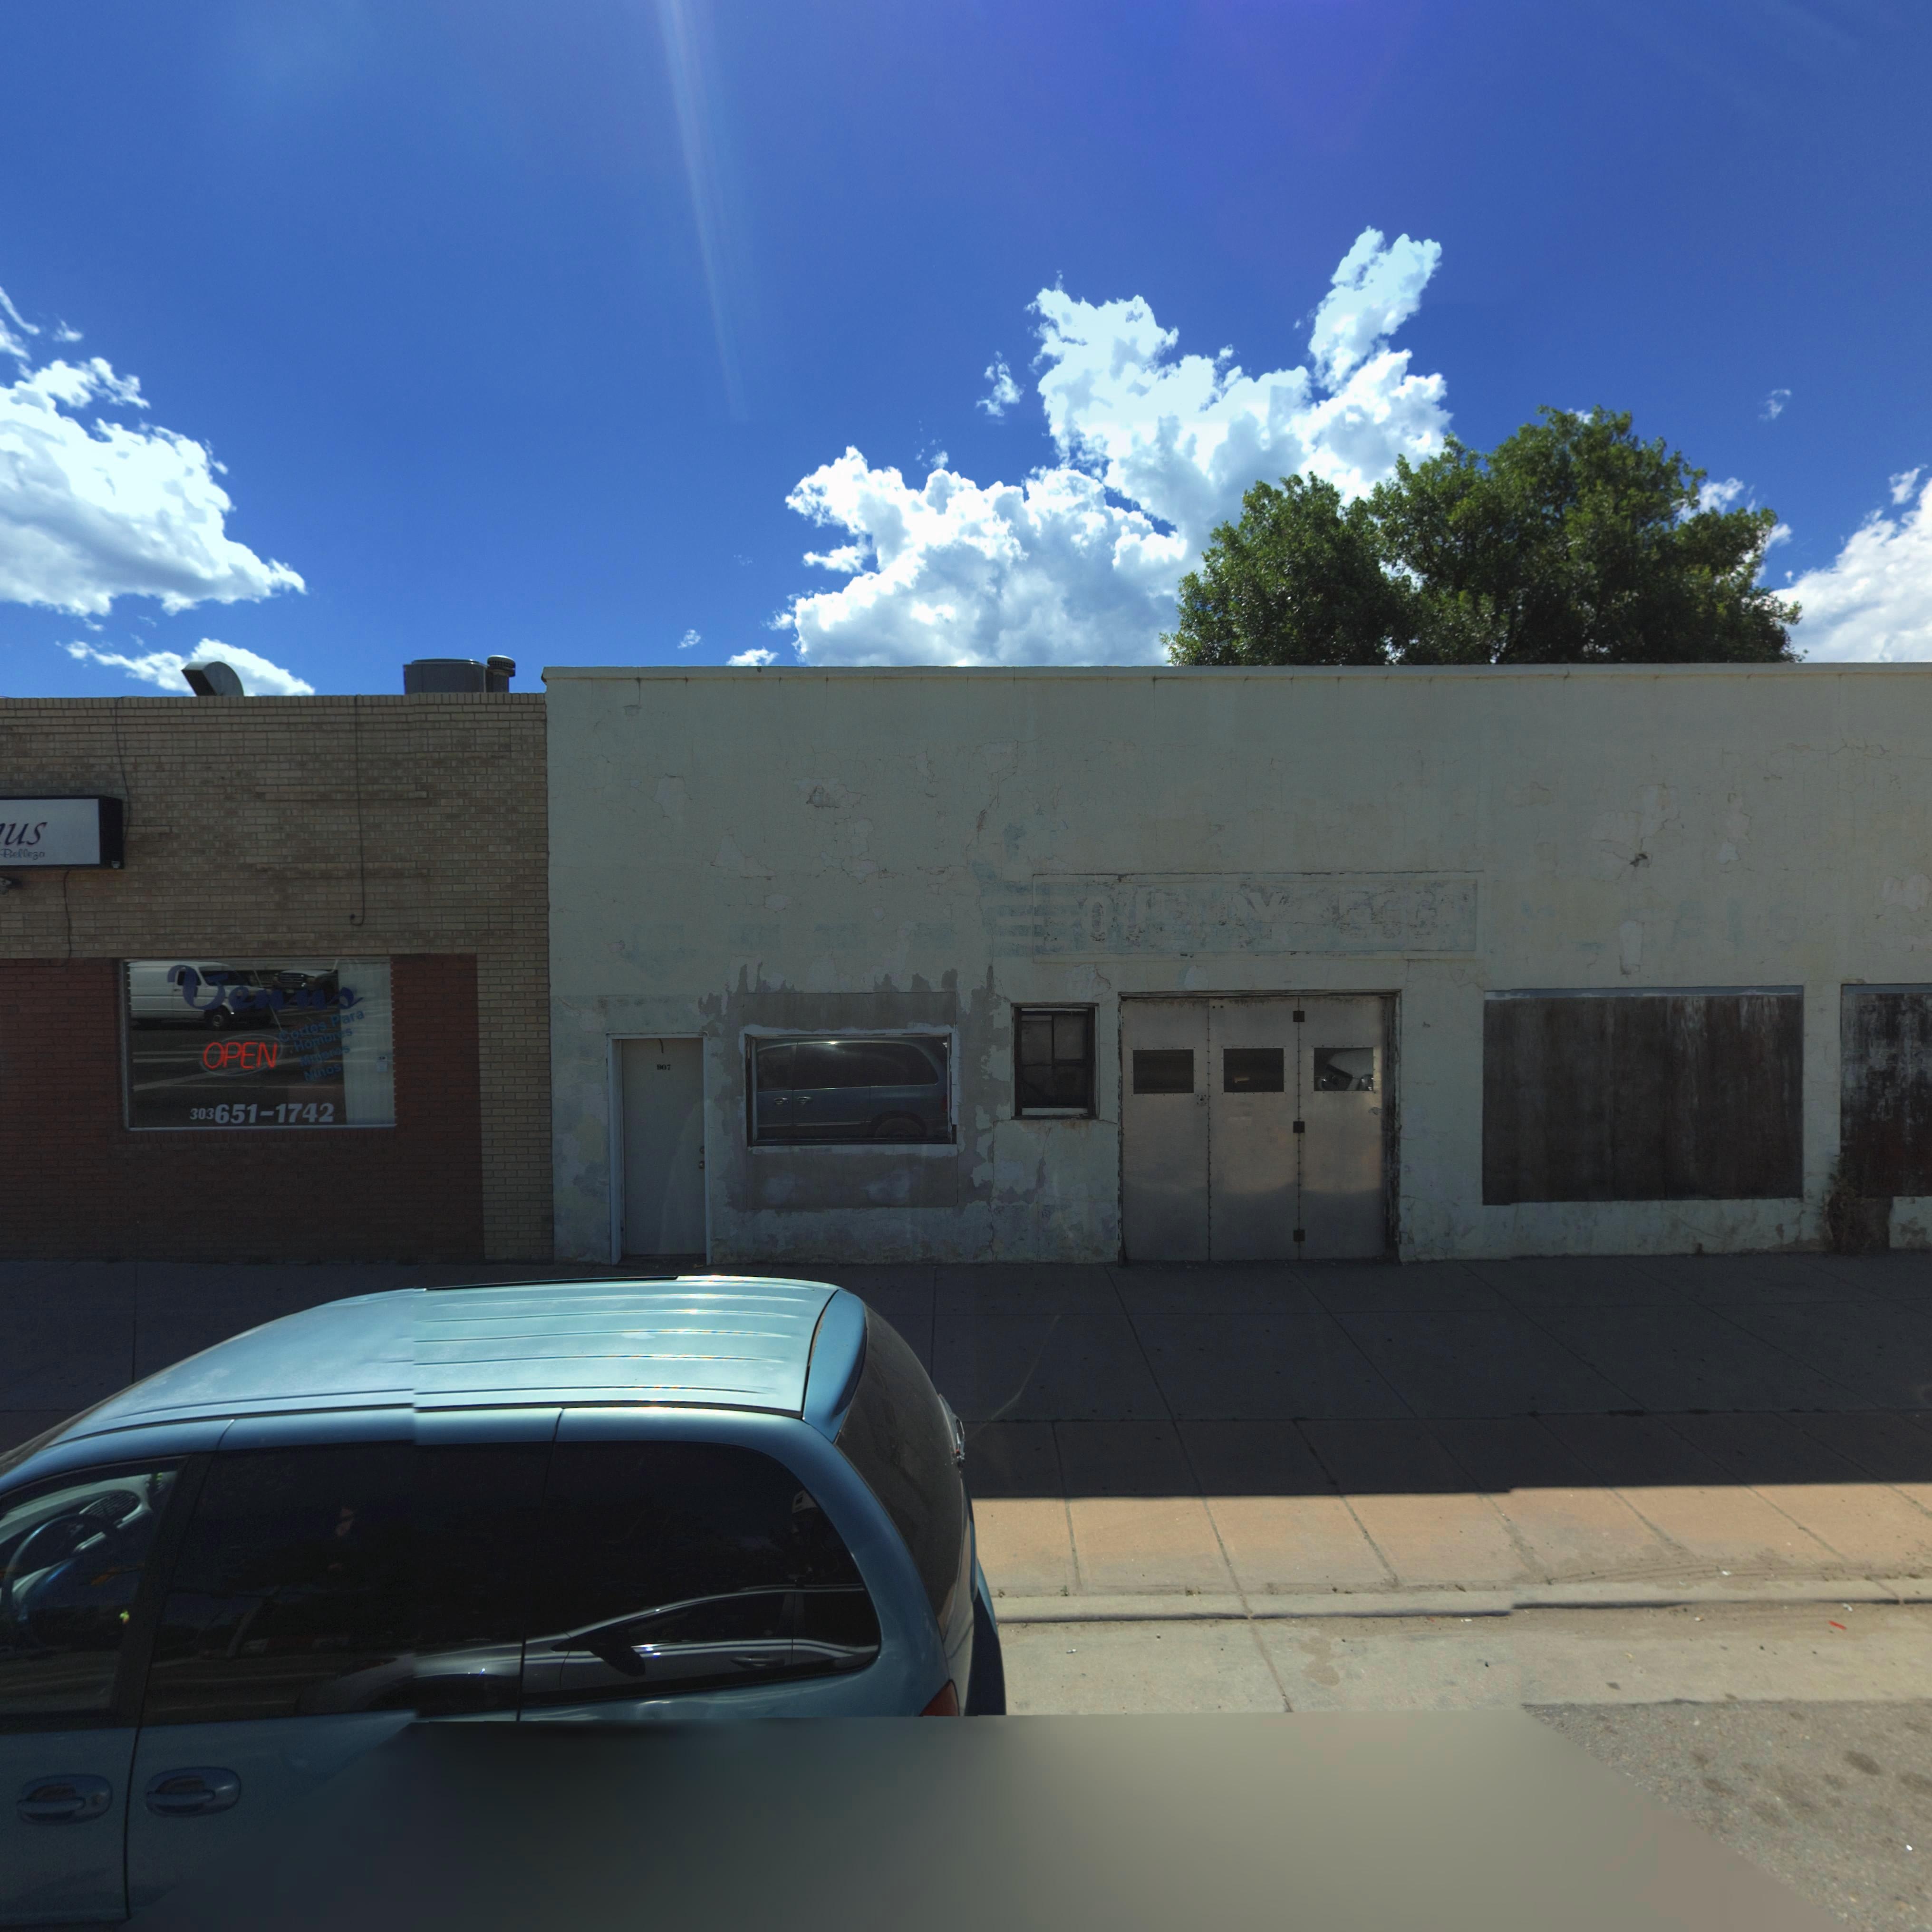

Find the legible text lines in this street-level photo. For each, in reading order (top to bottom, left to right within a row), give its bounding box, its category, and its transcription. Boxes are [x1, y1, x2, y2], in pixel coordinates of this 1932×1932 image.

[1, 820, 48, 848] BusinessName: us
[2, 848, 45, 860] BusinessName: Belleza
[656, 1063, 671, 1071] StreetNumber: 907